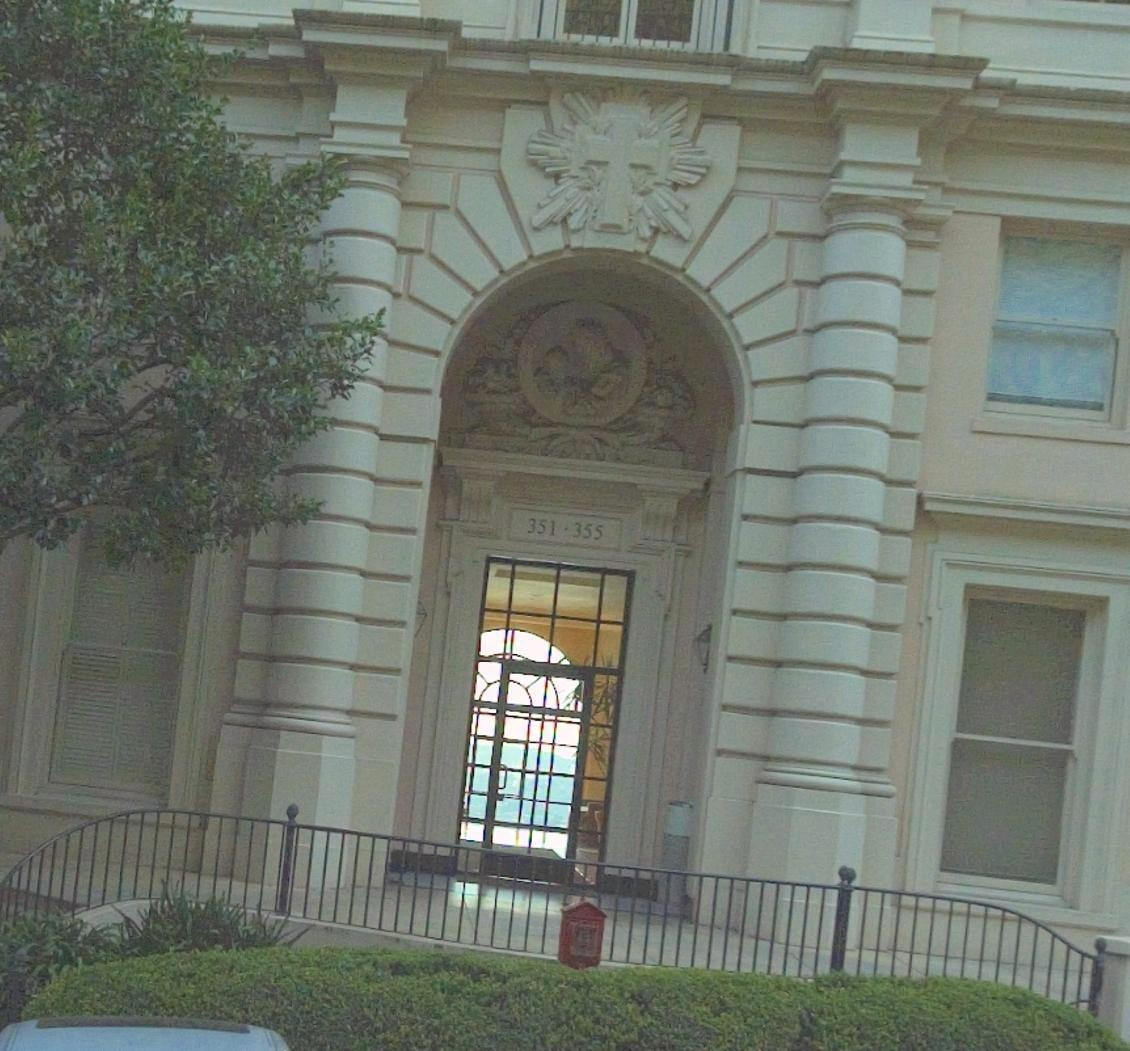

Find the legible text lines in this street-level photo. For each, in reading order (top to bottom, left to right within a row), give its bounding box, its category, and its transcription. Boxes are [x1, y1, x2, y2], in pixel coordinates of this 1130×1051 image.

[525, 518, 557, 537] StreetNumber: 351
[571, 520, 604, 539] StreetNumber: 355